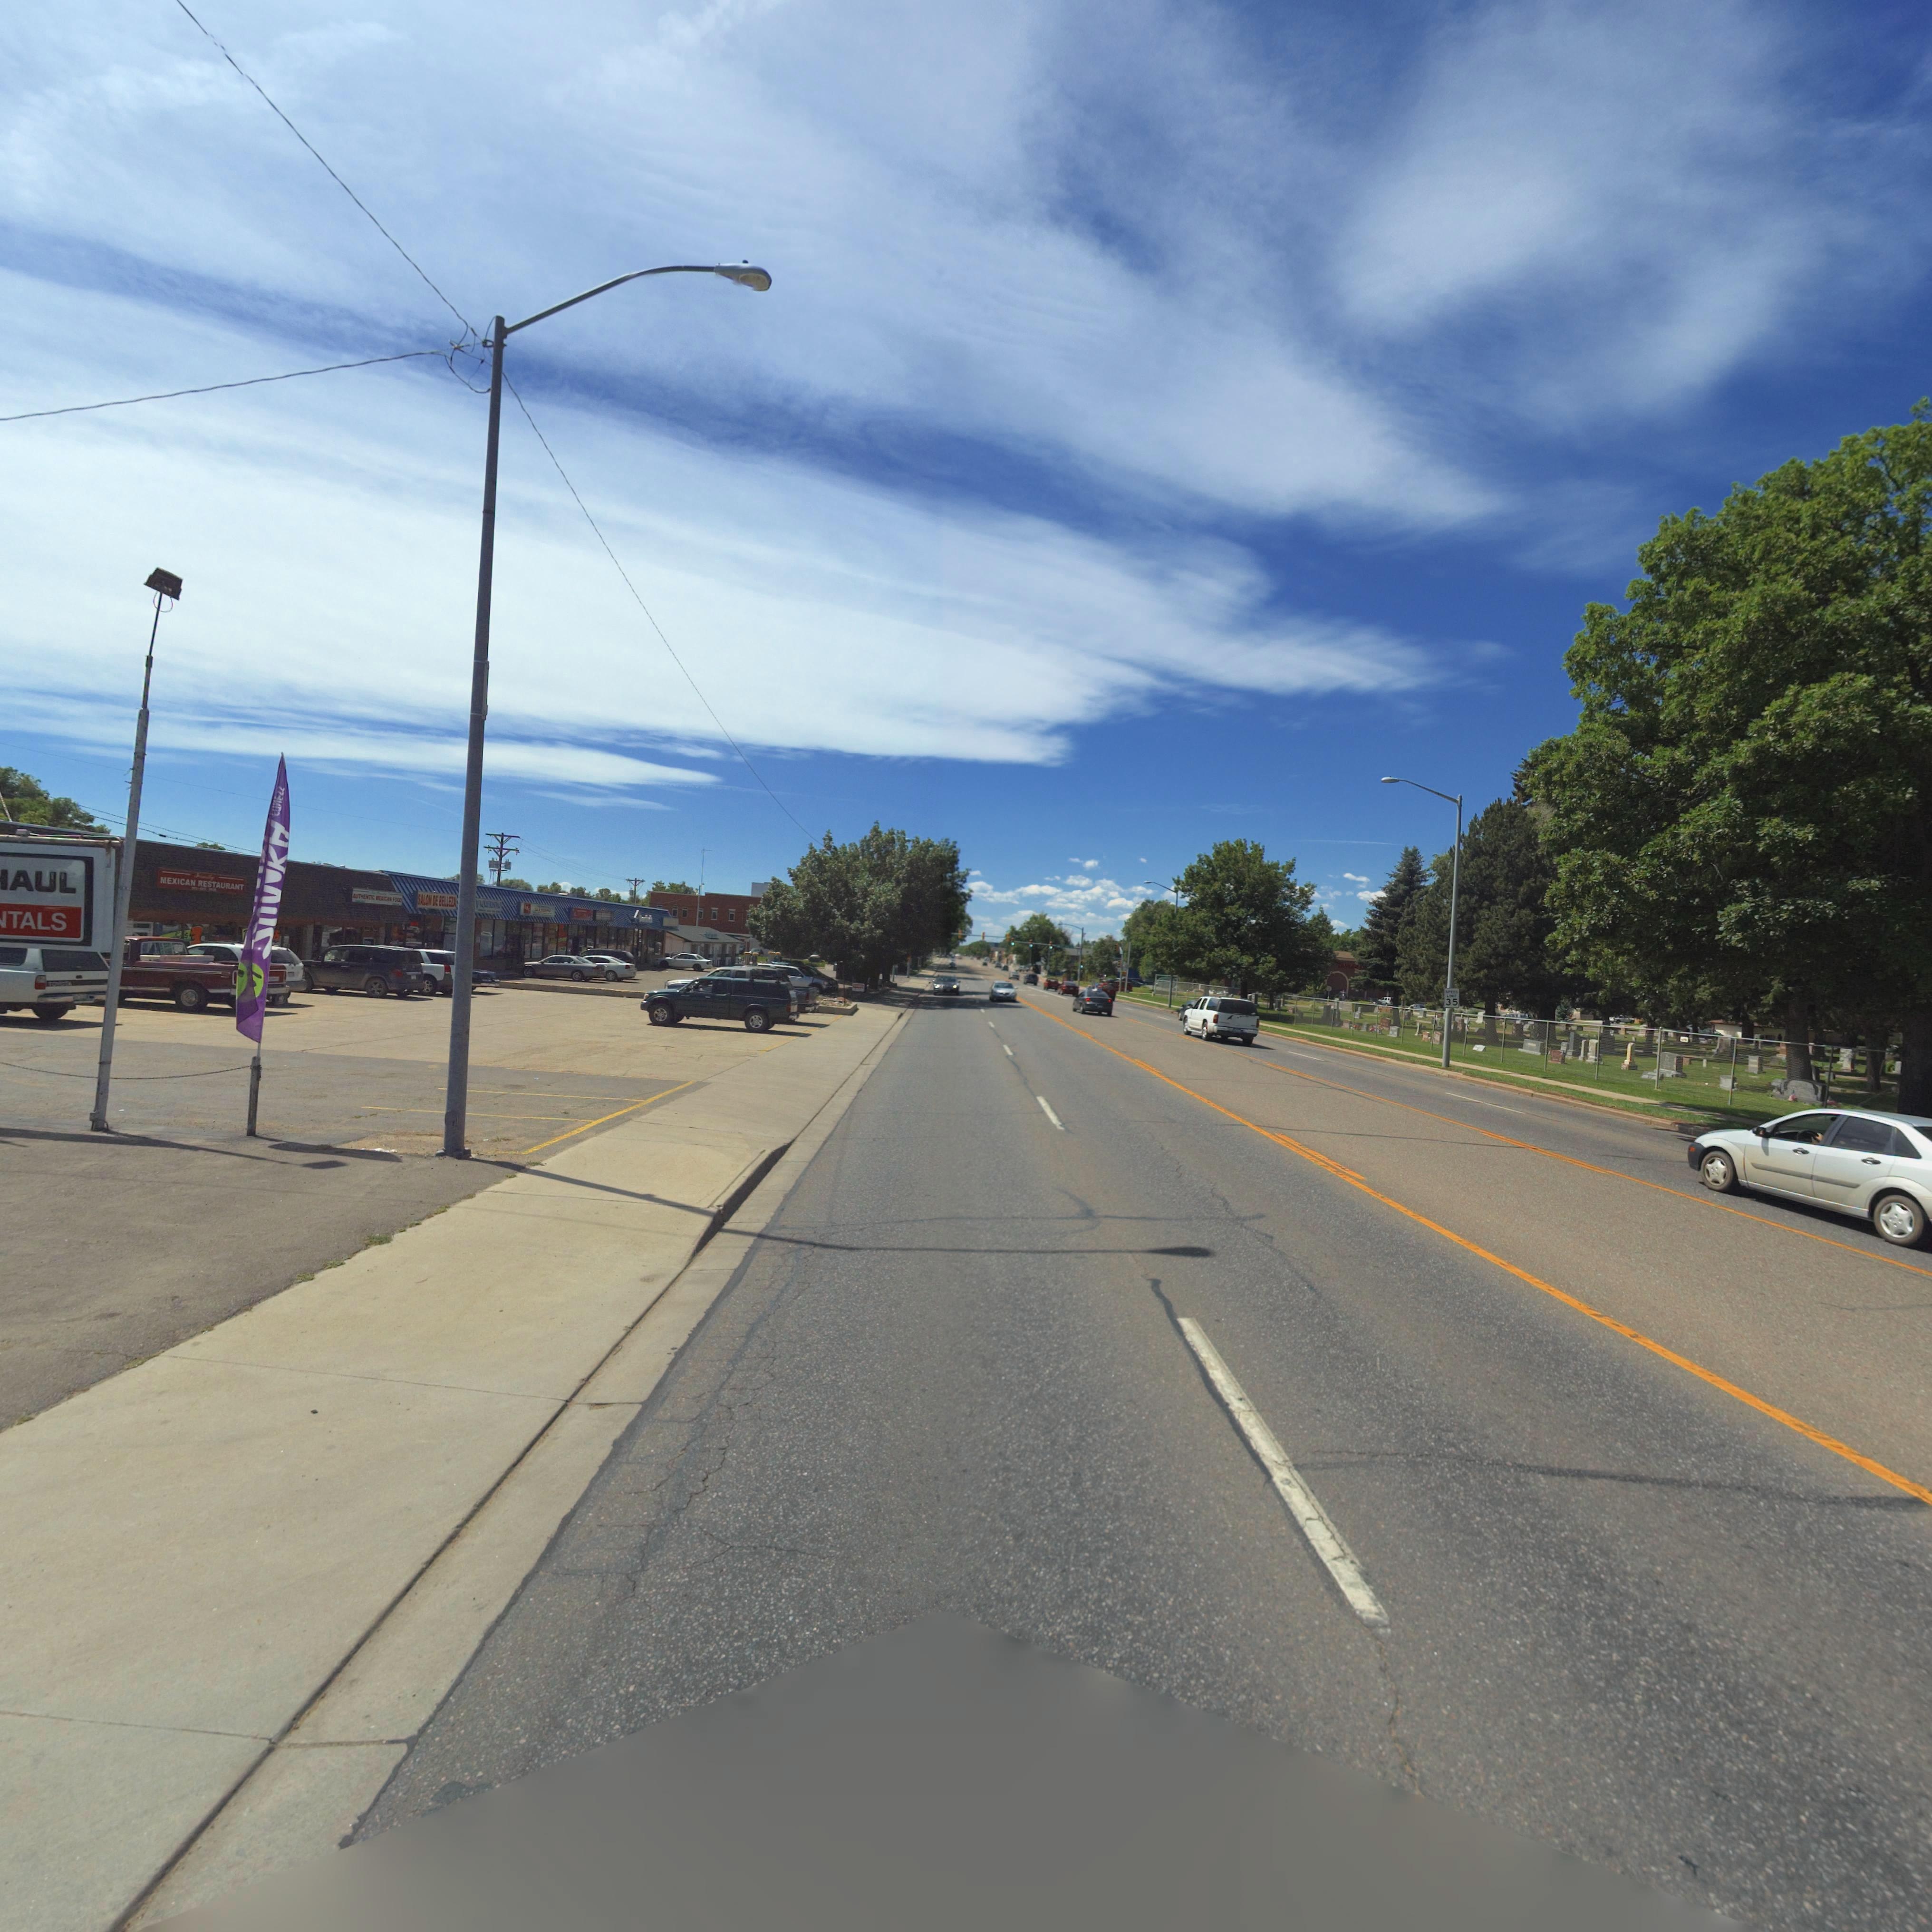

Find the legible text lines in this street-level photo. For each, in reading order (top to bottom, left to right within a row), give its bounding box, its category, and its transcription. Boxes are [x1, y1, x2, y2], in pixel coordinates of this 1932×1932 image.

[8, 869, 76, 894] BusinessName: AUL
[352, 893, 402, 903] BusinessName: **T*E***C *E***** FOO*
[416, 893, 456, 907] BusinessName: SALON DE BELLEZA
[475, 899, 501, 909] BusinessName: V**********
[524, 904, 530, 913] BusinessName: **S
[7, 910, 68, 931] BusinessName: TALS